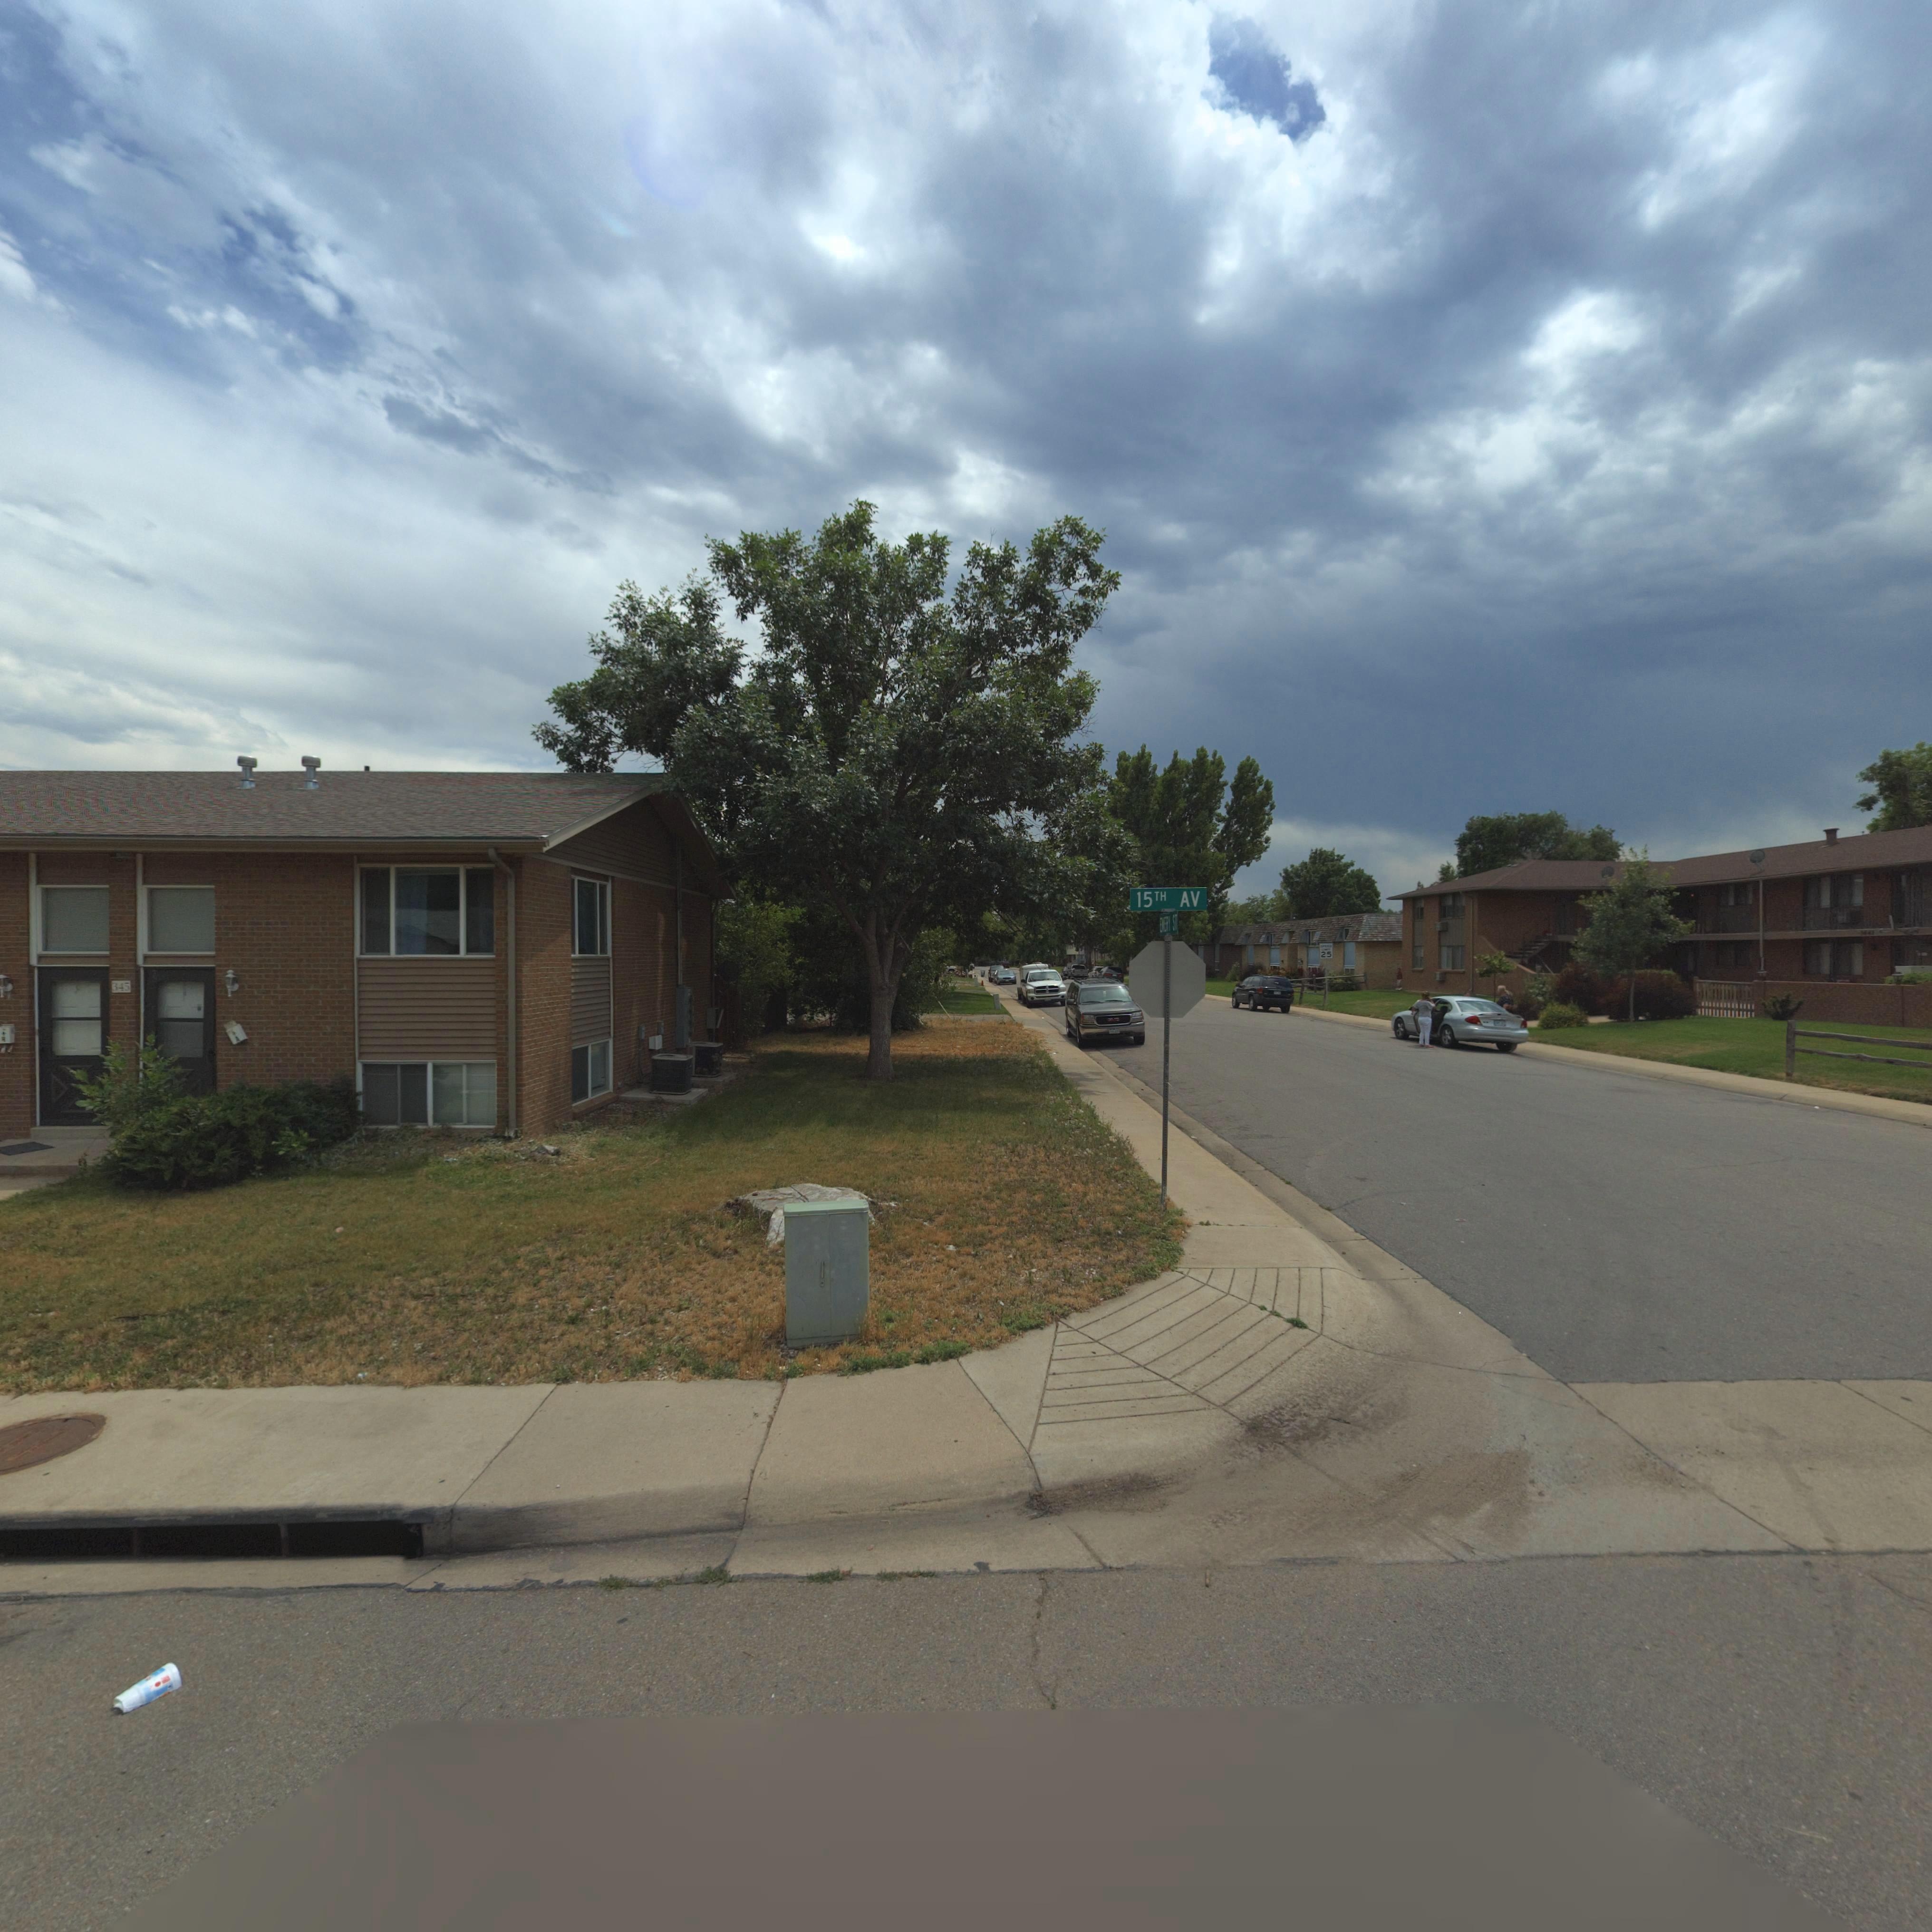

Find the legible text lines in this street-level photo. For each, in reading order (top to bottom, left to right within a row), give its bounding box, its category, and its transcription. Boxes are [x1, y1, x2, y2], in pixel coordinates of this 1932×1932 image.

[1136, 889, 1202, 908] StreetName: 15TH AV
[1159, 913, 1179, 933] StreetName: E*ERY ST
[1860, 929, 1875, 936] StreetNumber: 144*
[111, 982, 130, 991] StreetNumber: 345